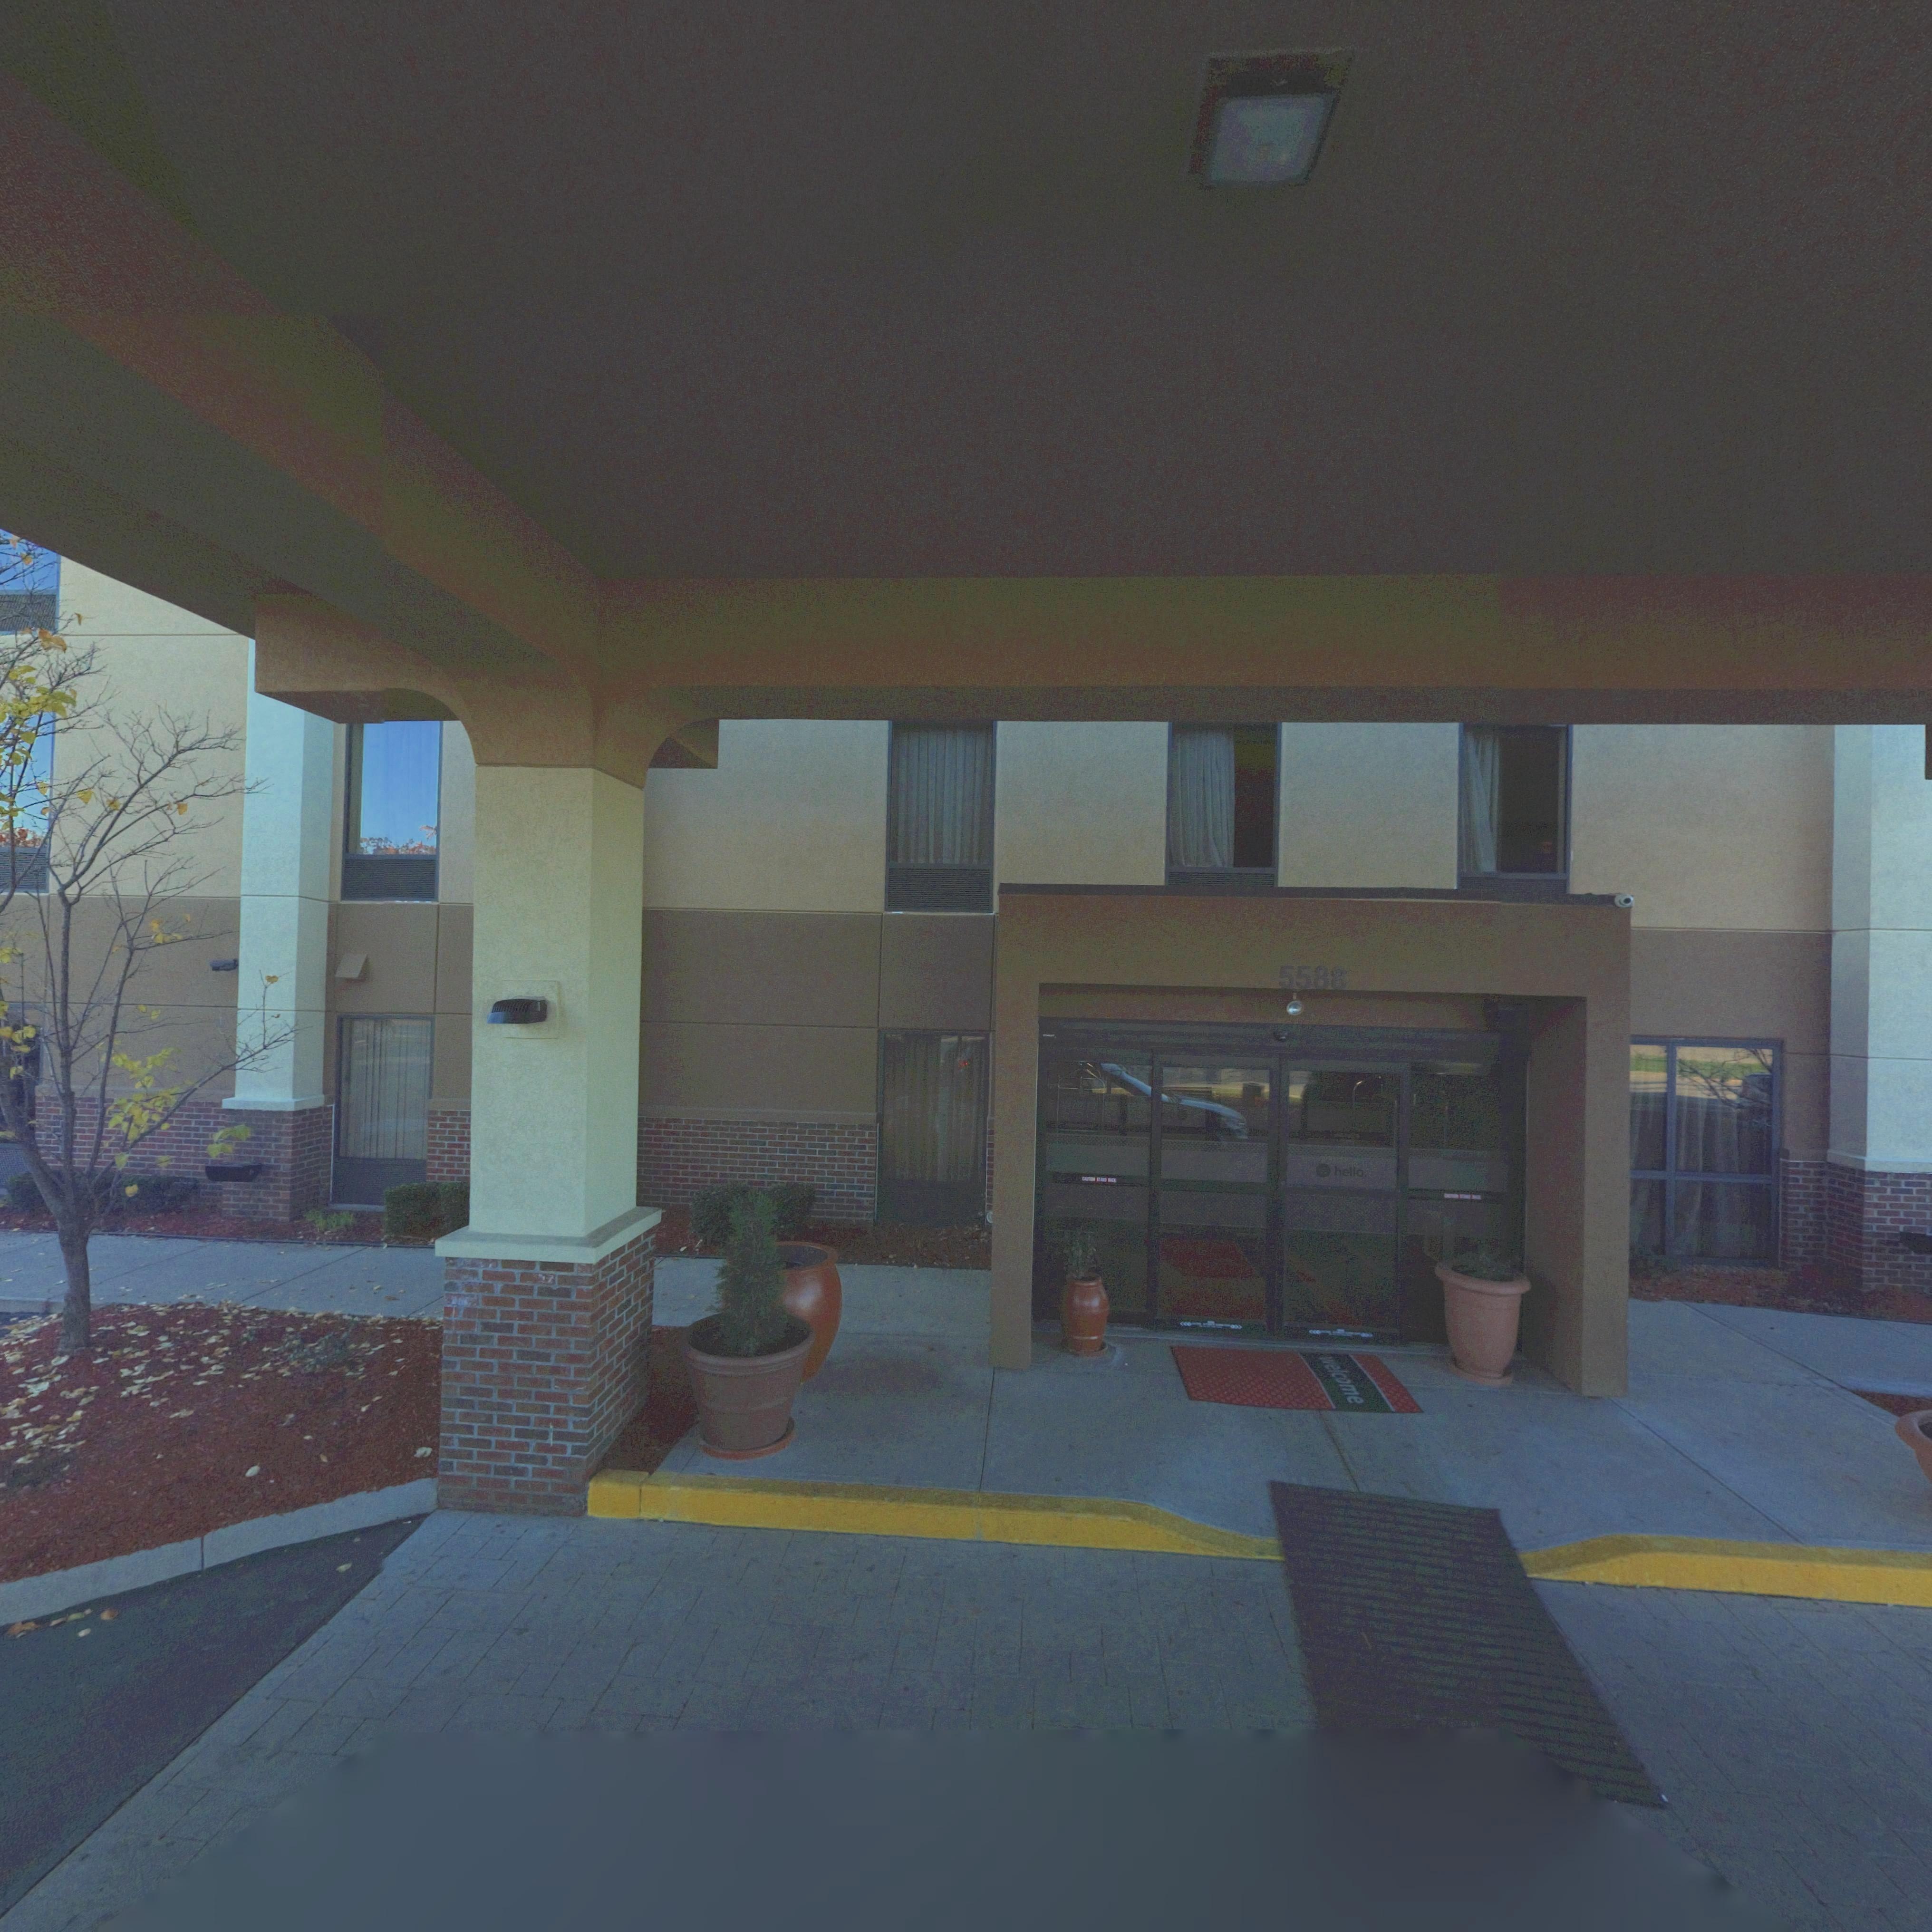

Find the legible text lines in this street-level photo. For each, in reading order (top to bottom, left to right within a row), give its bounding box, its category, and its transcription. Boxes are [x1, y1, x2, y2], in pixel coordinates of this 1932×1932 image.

[1276, 963, 1348, 992] StreetNumber: 5588